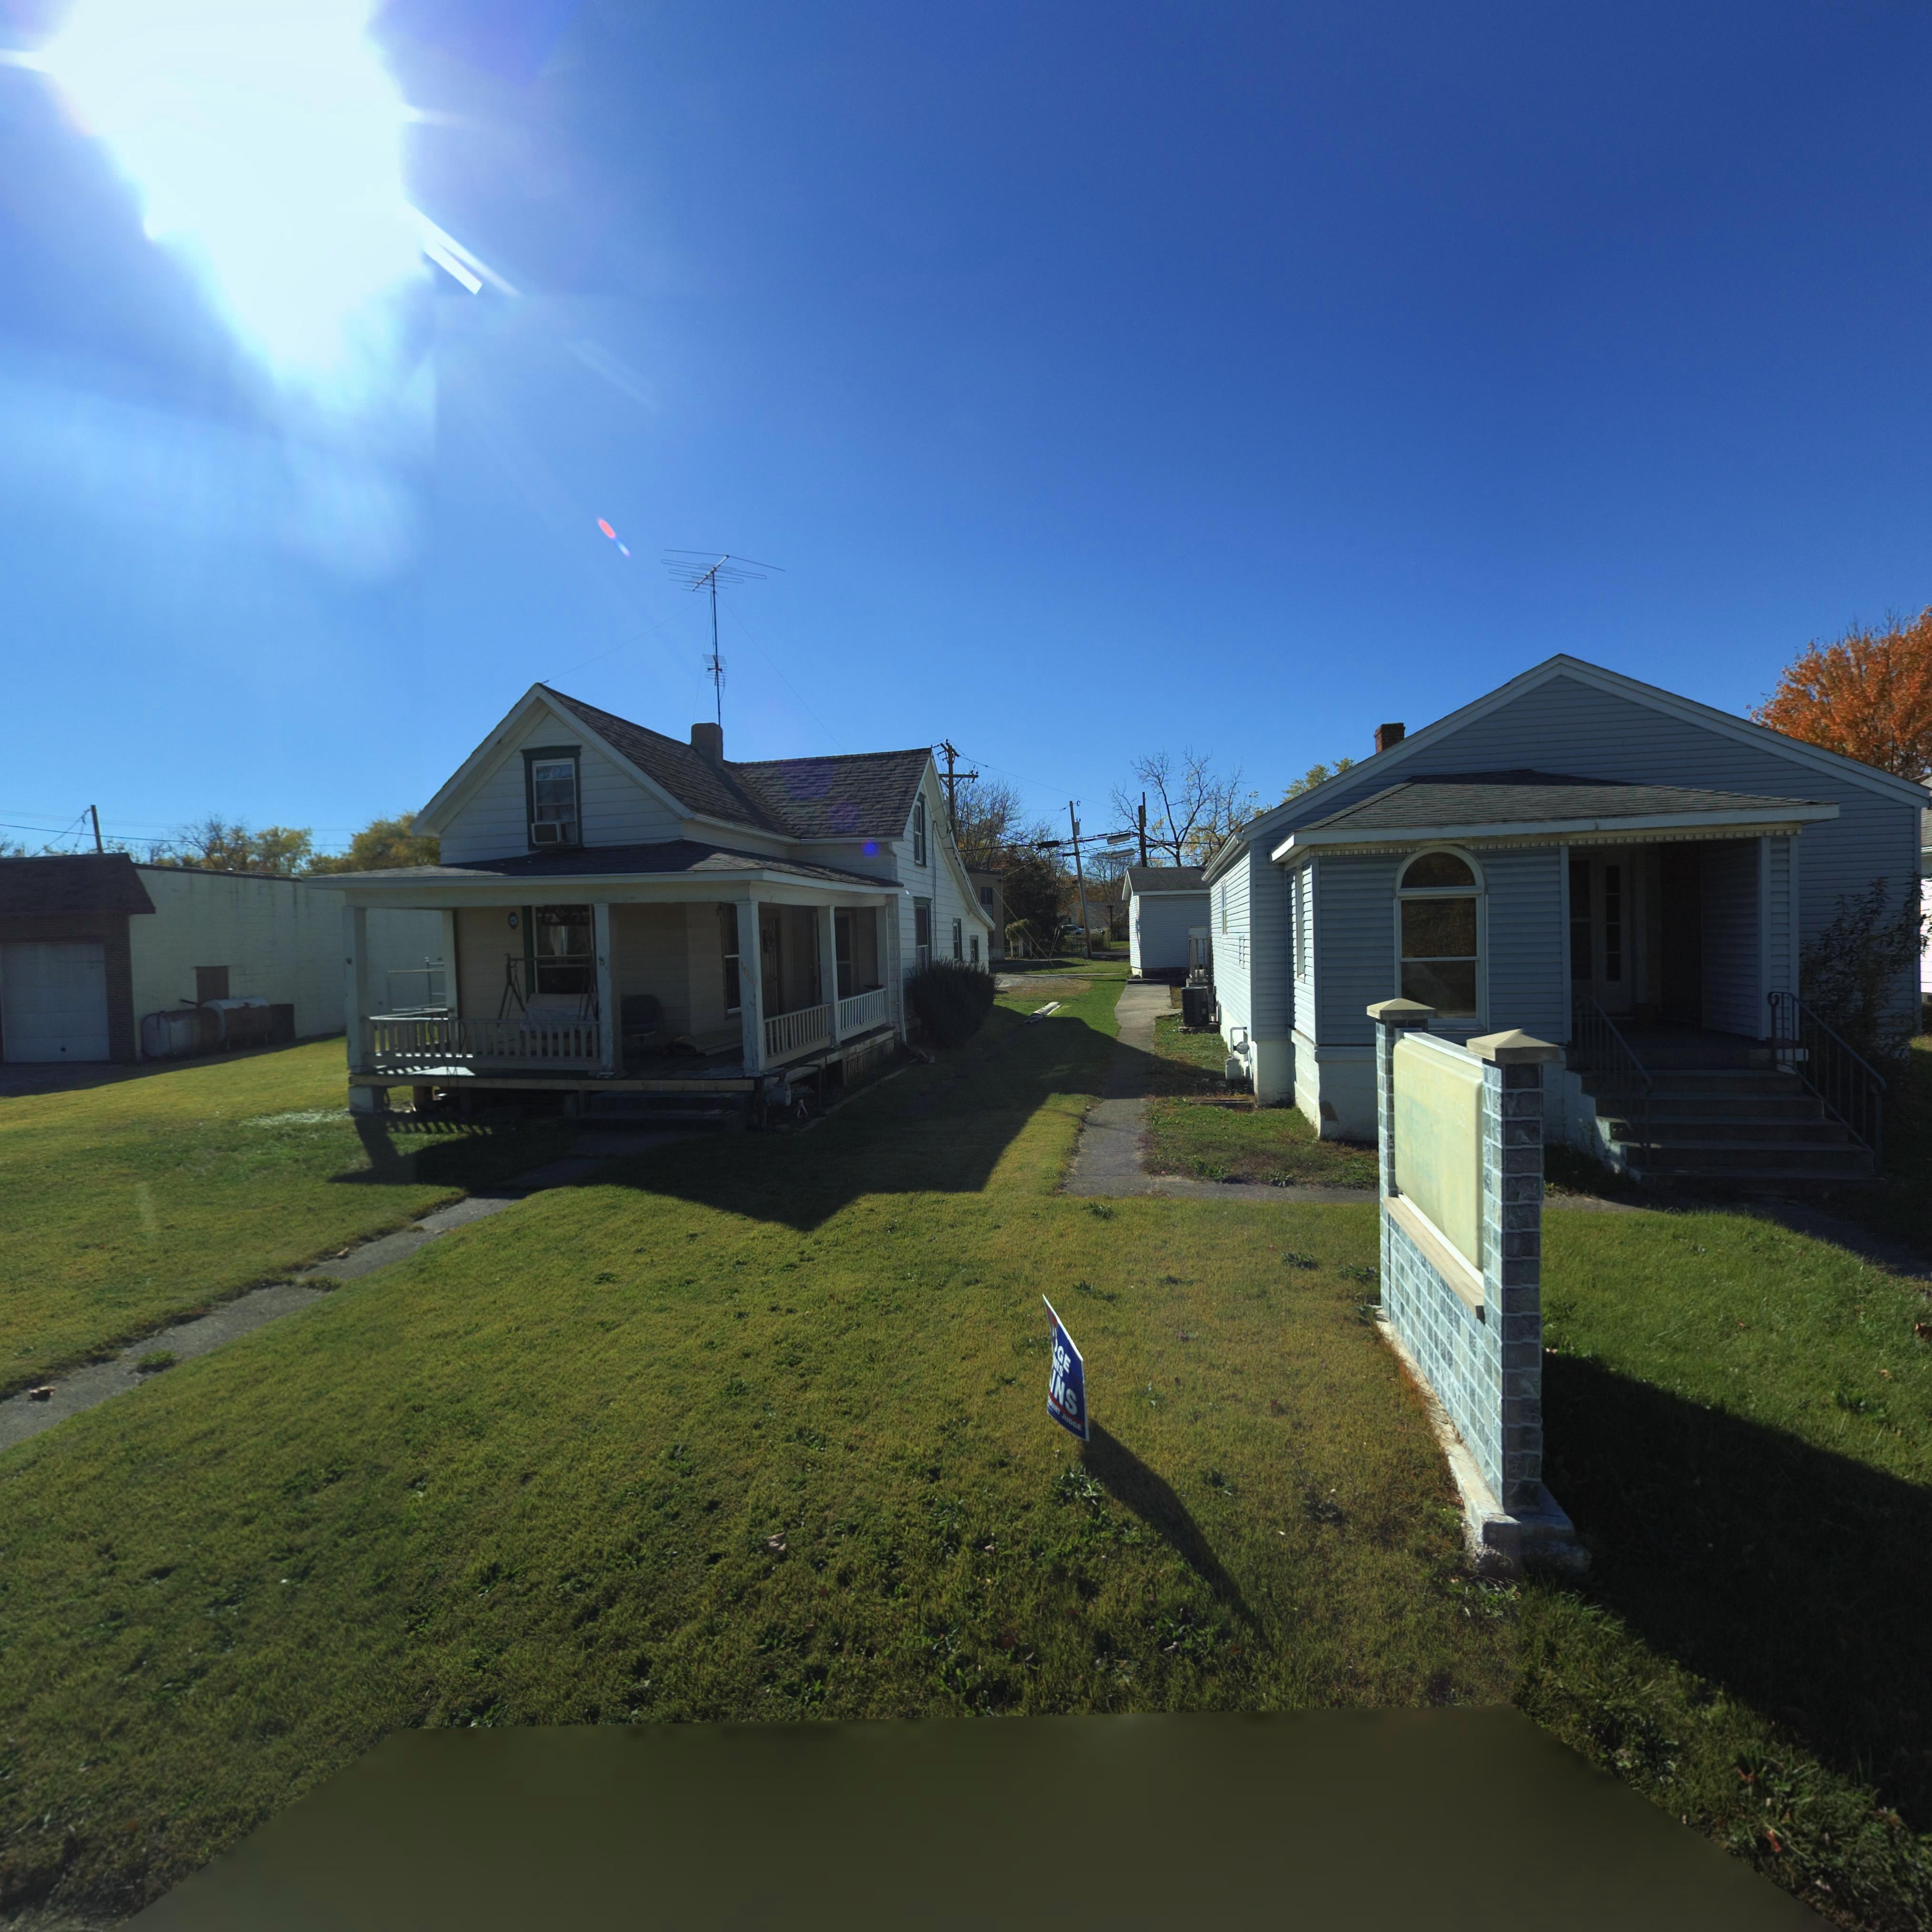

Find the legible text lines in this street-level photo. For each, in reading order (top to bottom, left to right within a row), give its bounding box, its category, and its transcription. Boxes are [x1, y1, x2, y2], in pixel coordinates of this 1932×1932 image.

[738, 959, 754, 986] StreetNumber: 109
[1055, 1361, 1065, 1379] None: IS
[1056, 1345, 1072, 1375] None: GE
[1049, 1367, 1078, 1417] None: INS
[1048, 1398, 1082, 1432] None: OURT JUDGE